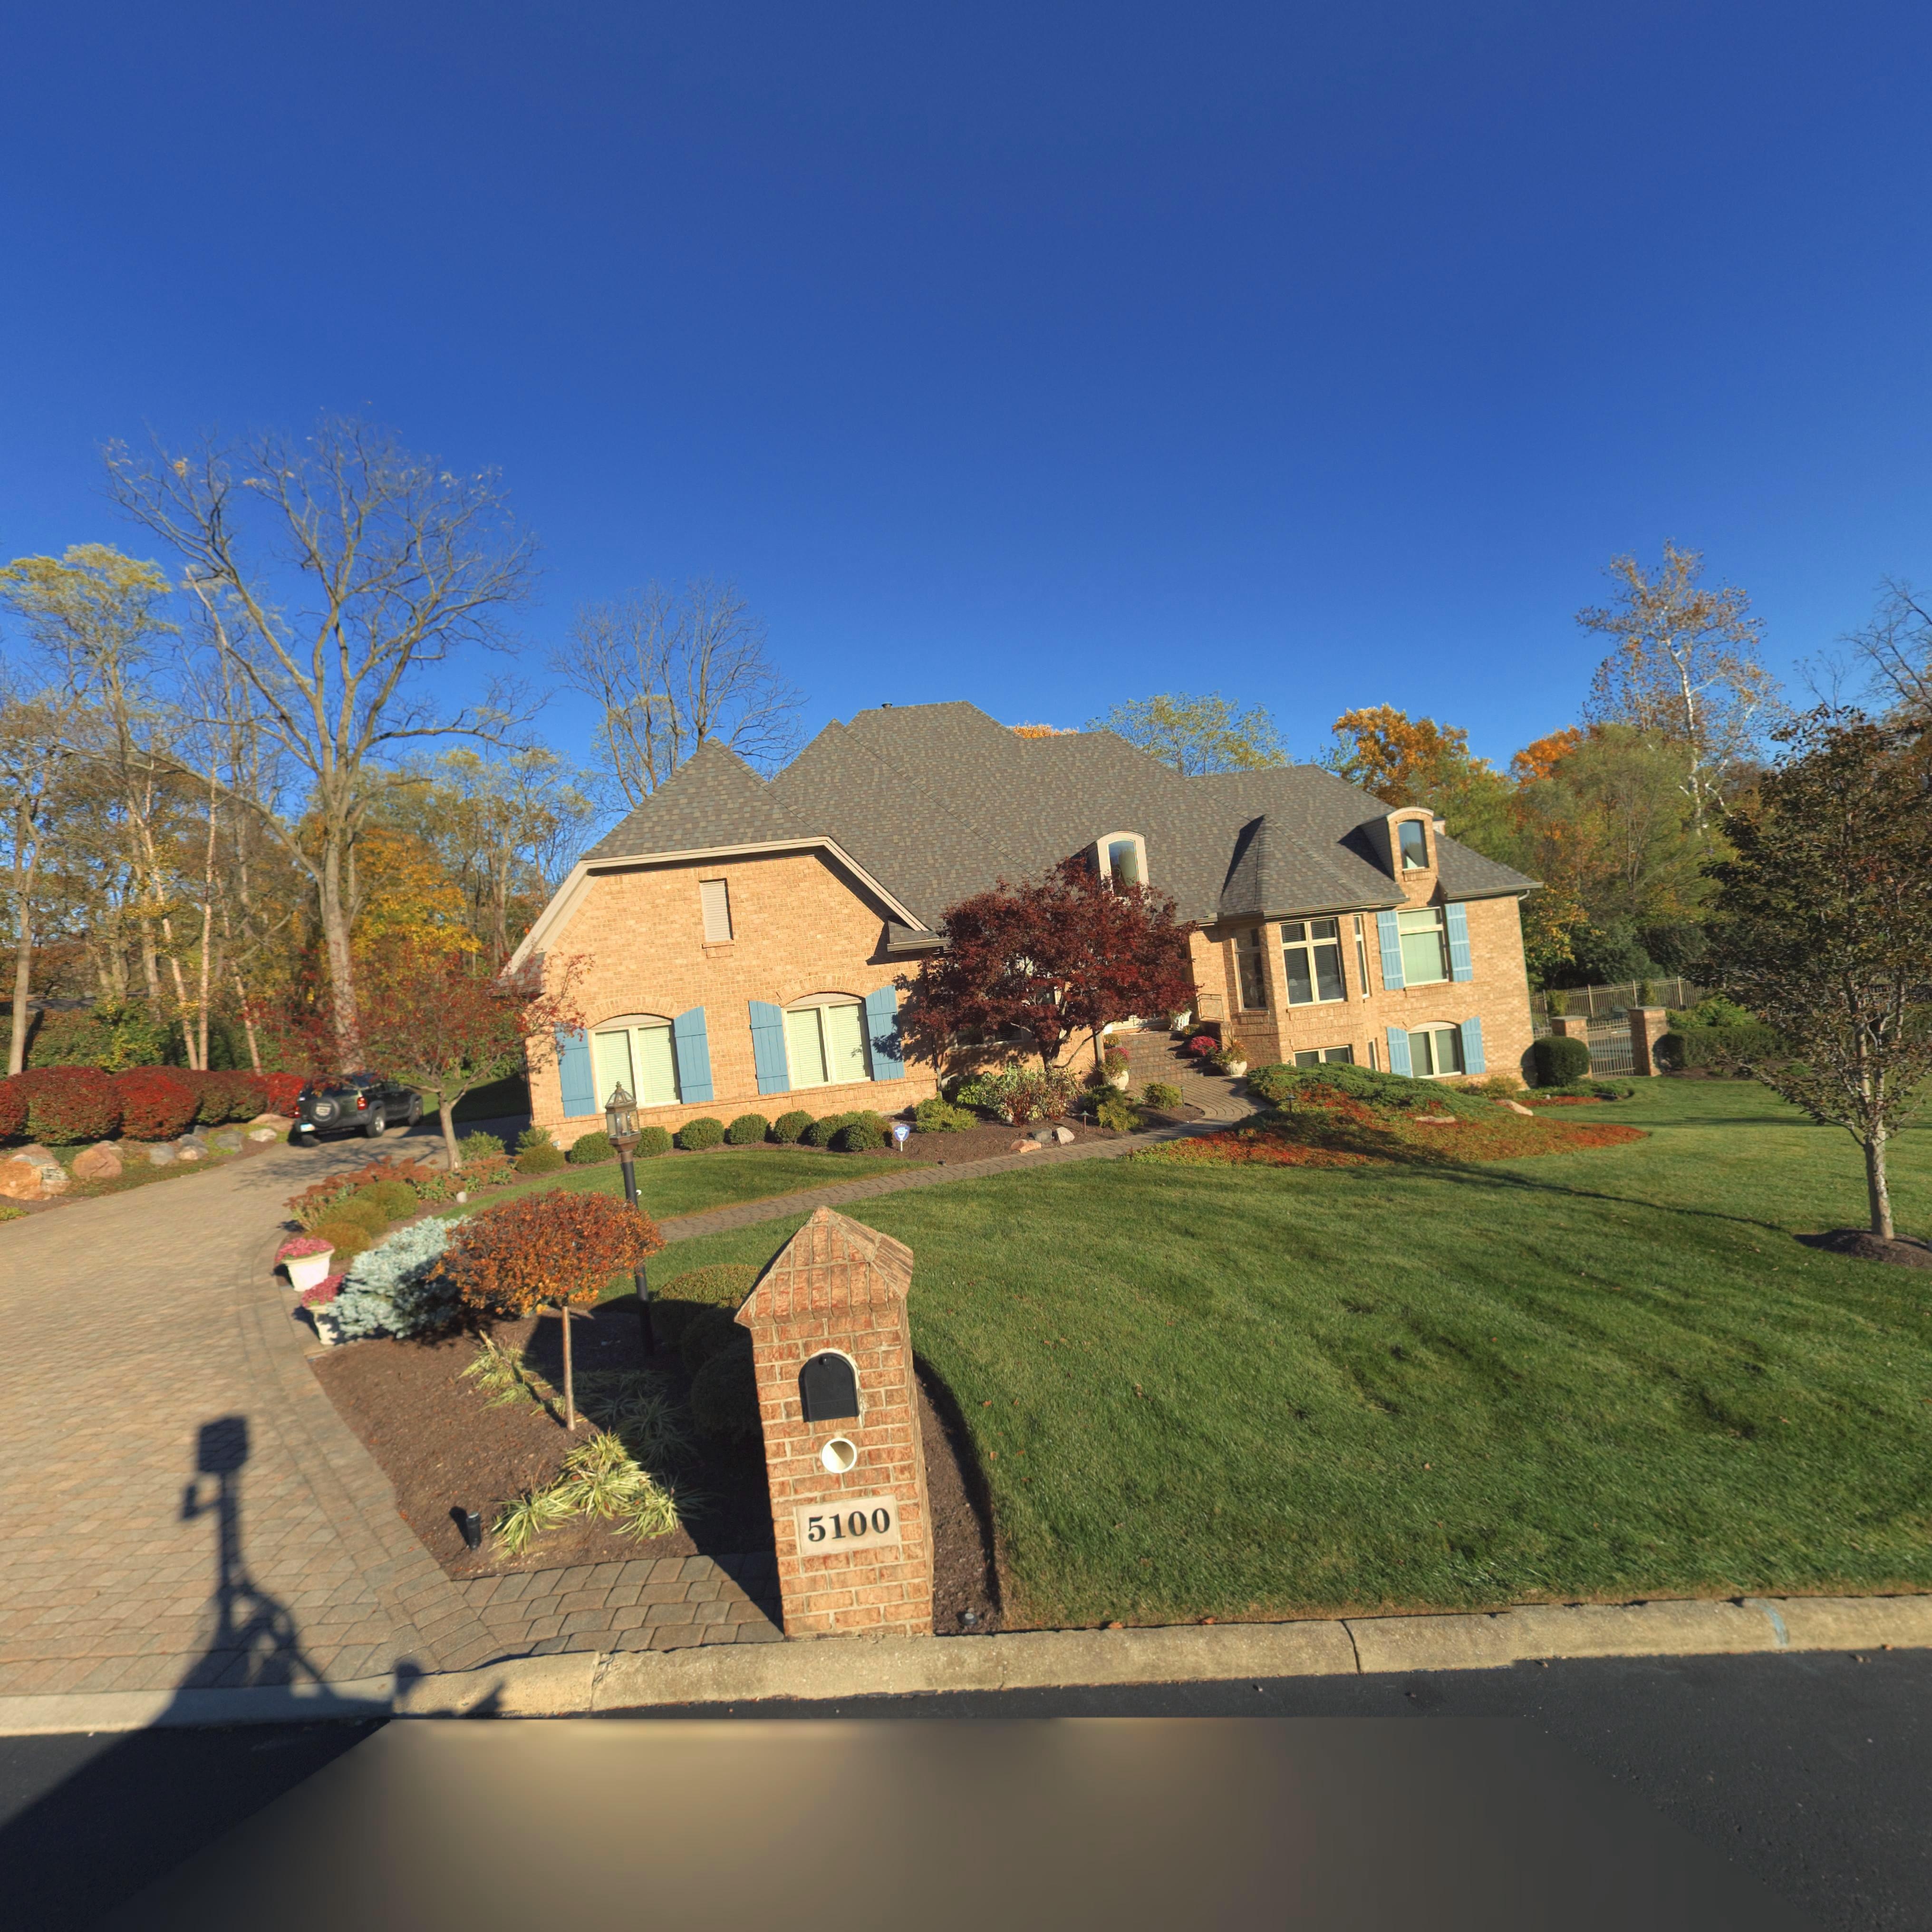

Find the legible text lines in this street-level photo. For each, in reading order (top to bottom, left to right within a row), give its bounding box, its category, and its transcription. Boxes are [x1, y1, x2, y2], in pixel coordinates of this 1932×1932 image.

[805, 1504, 894, 1546] StreetNumber: 5100